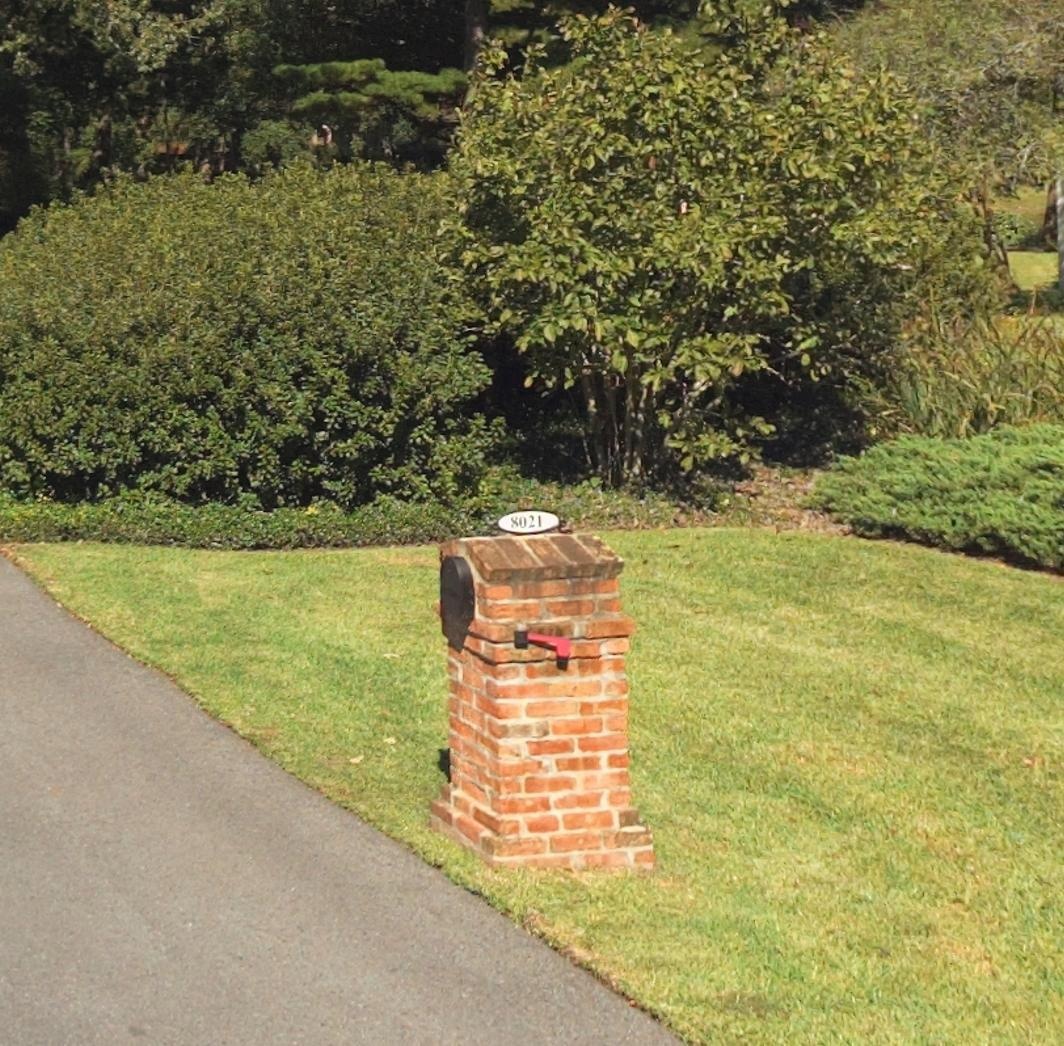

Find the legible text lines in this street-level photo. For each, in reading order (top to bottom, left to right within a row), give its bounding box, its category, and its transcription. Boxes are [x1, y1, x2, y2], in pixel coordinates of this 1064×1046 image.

[510, 515, 543, 530] StreetNumber: 8021